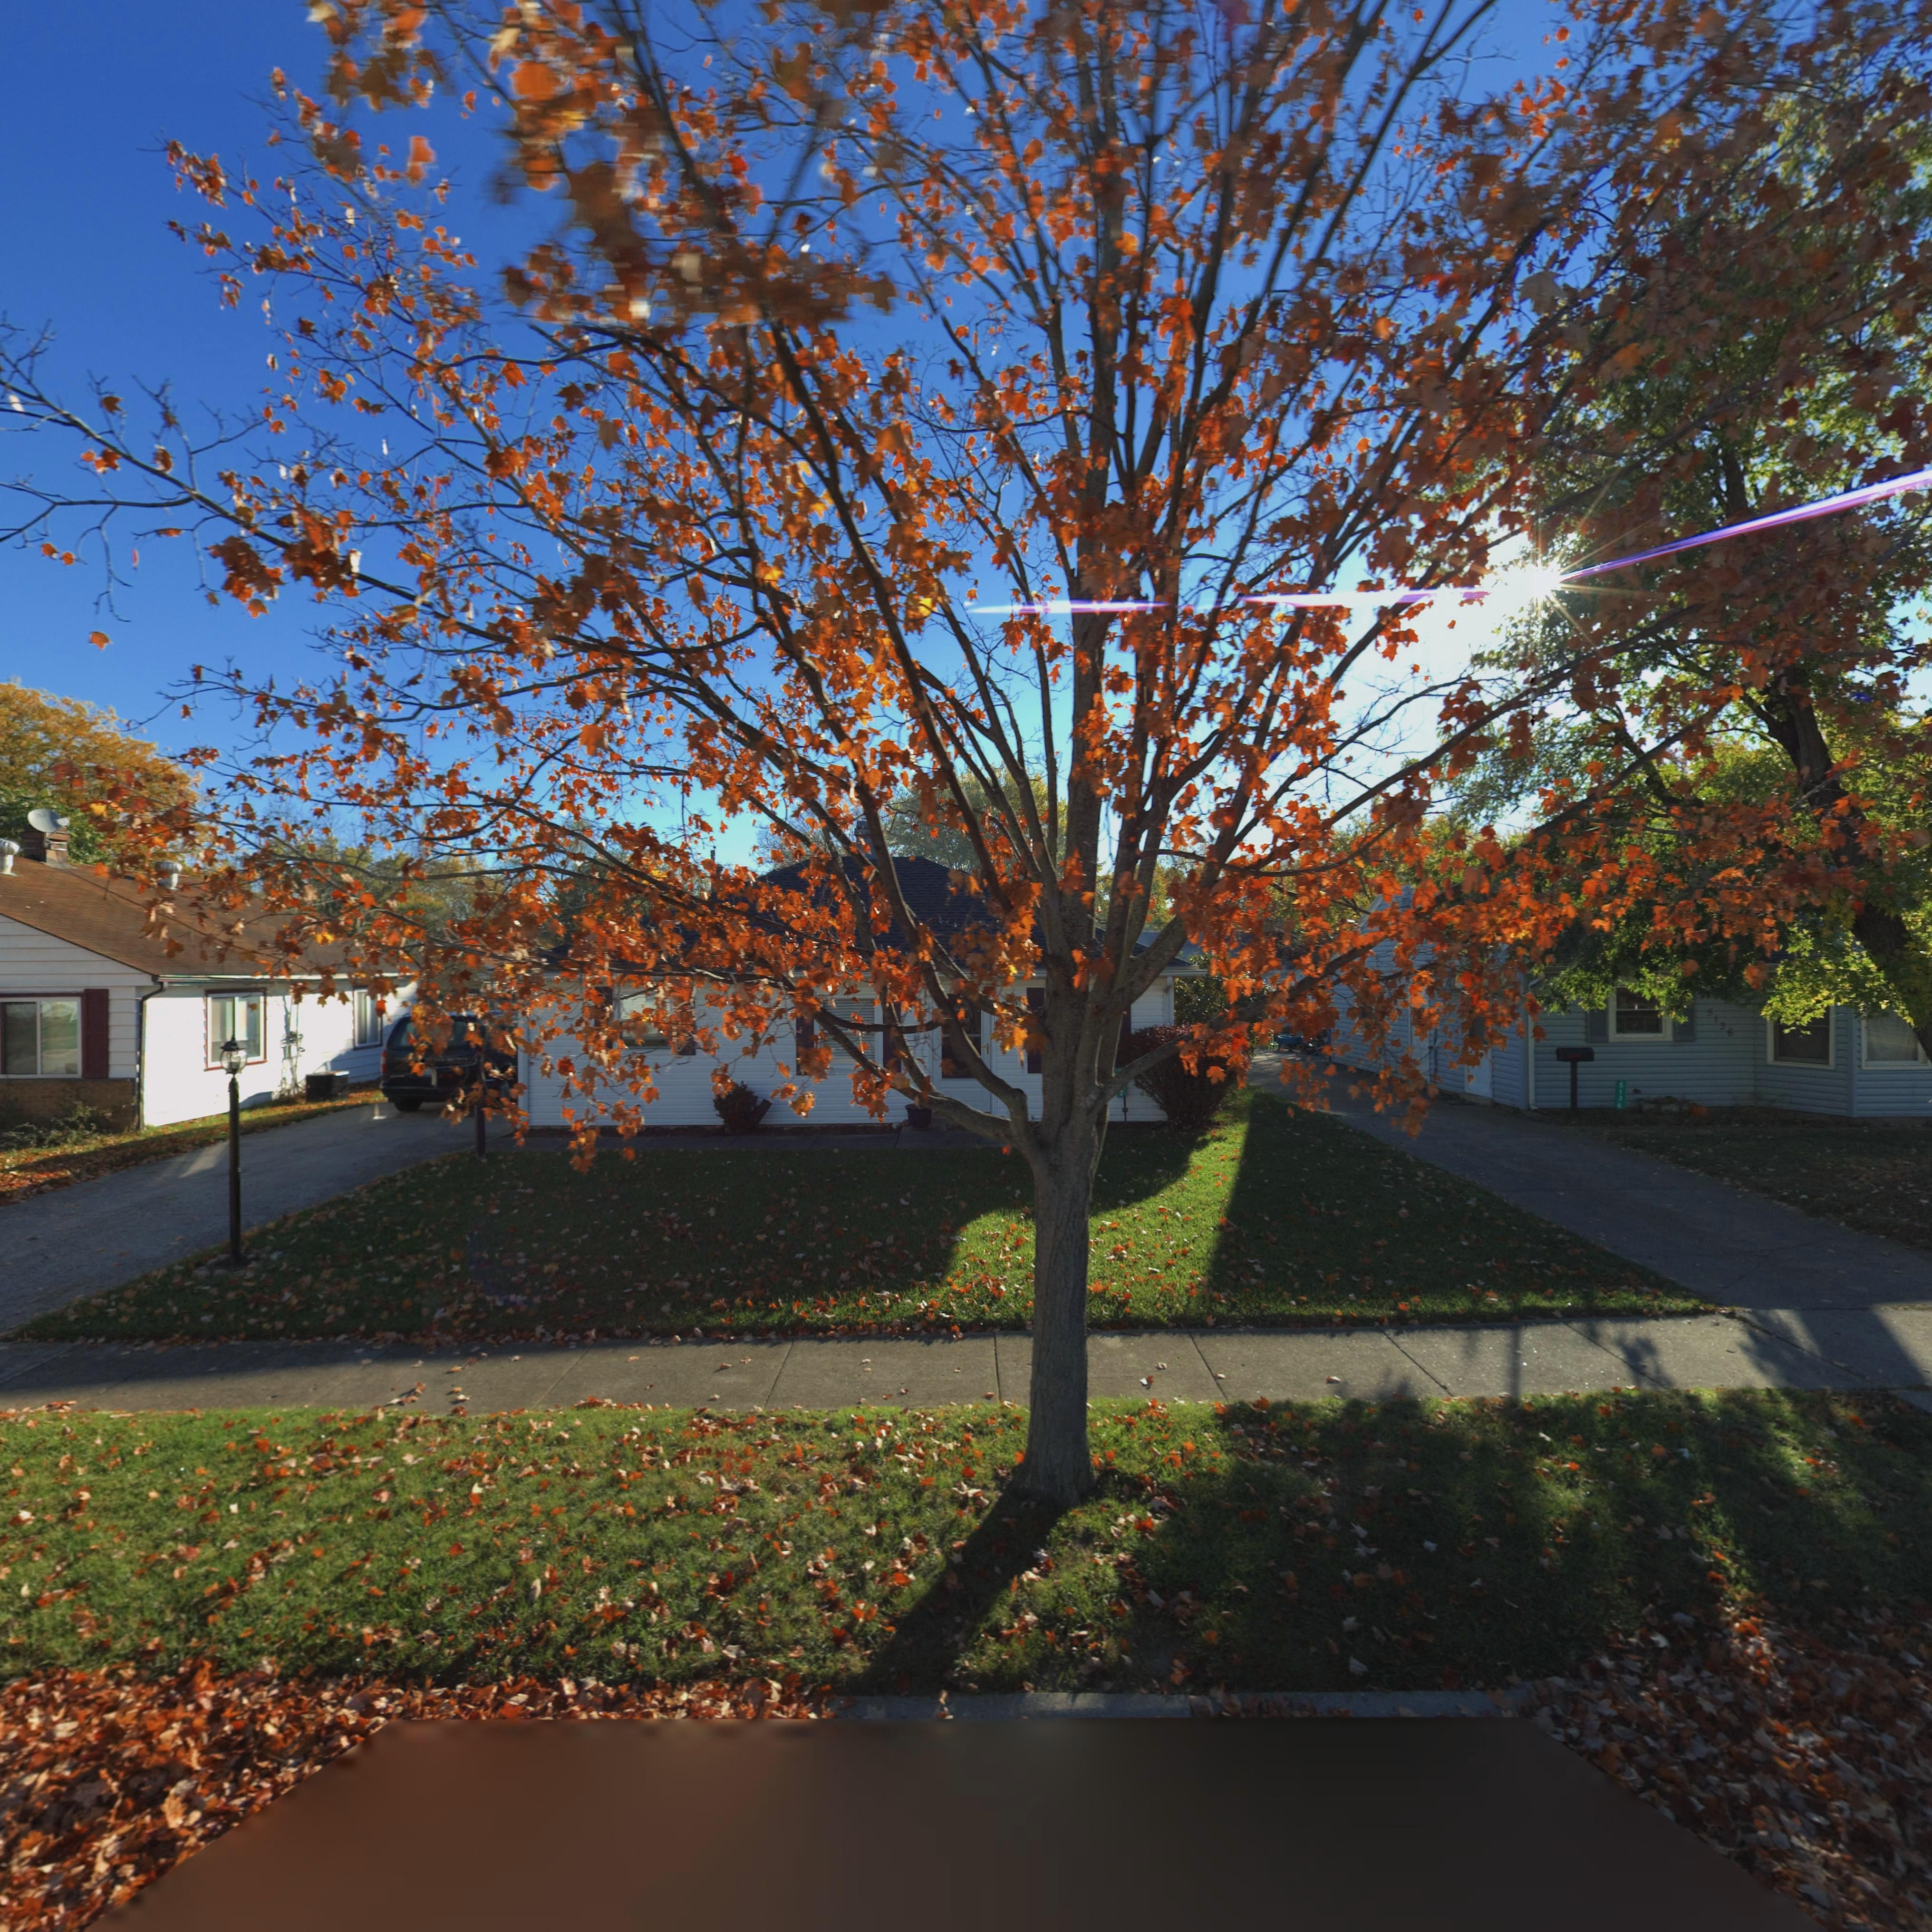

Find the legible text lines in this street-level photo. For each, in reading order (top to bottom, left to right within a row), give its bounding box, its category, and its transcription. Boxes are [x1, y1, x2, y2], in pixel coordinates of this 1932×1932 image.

[1707, 1007, 1734, 1037] StreetNumber: 5136
[1119, 1089, 1124, 1096] StreetNumber: 2
[1616, 1081, 1624, 1109] StreetNumber: 5136